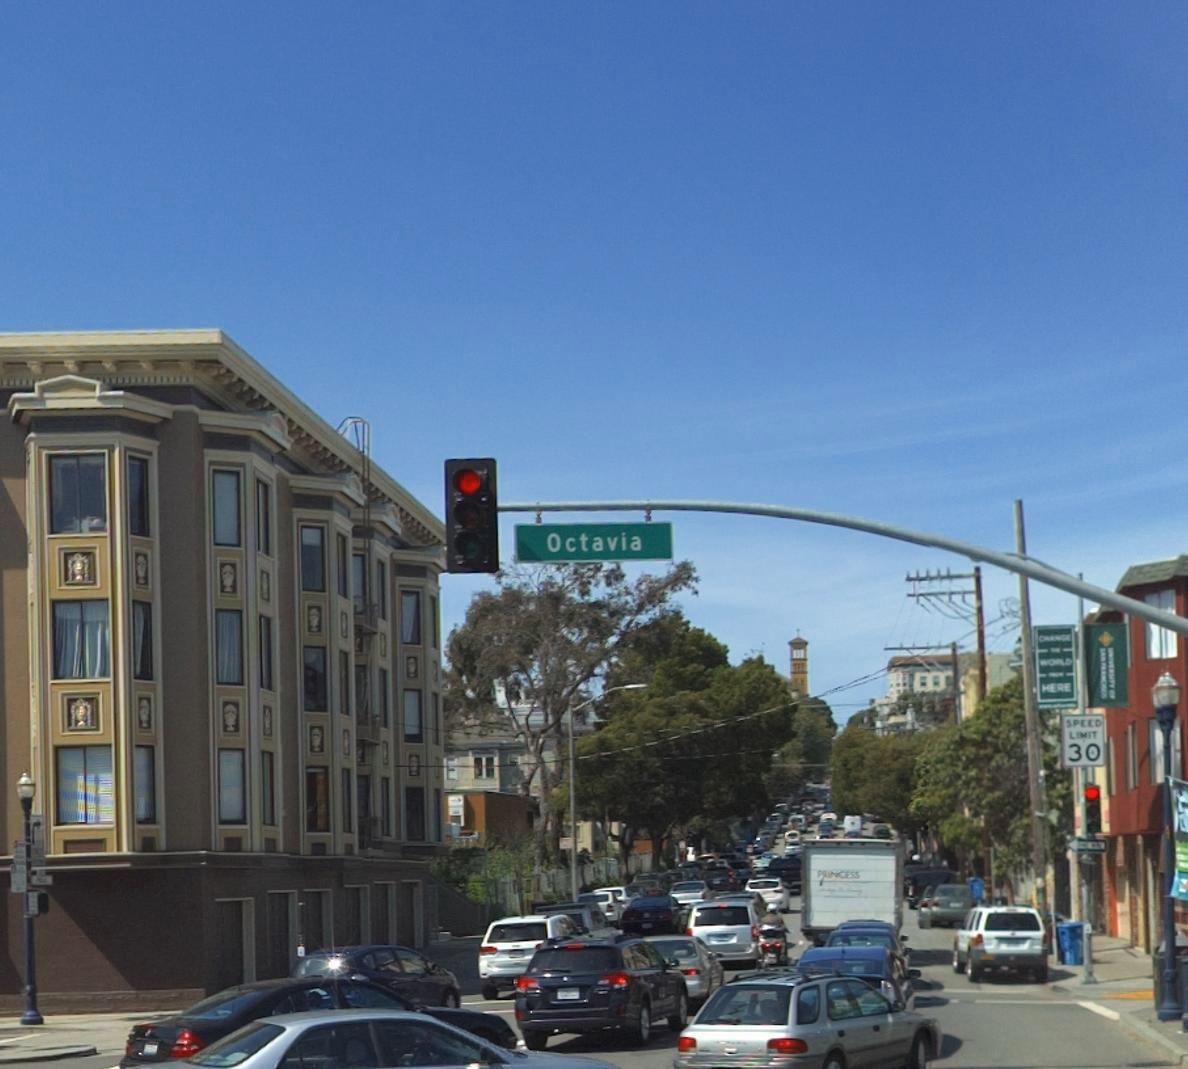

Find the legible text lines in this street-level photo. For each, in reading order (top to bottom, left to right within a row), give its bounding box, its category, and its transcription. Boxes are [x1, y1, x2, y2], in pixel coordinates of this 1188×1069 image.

[546, 531, 644, 555] StreetName: Octavia
[1039, 656, 1071, 667] None: WORLD
[1039, 680, 1071, 693] None: HERE
[1064, 718, 1101, 728] None: SPEED
[1067, 729, 1099, 740] None: LIMIT
[1066, 741, 1099, 761] None: 30
[815, 867, 860, 879] None: PRINCESS